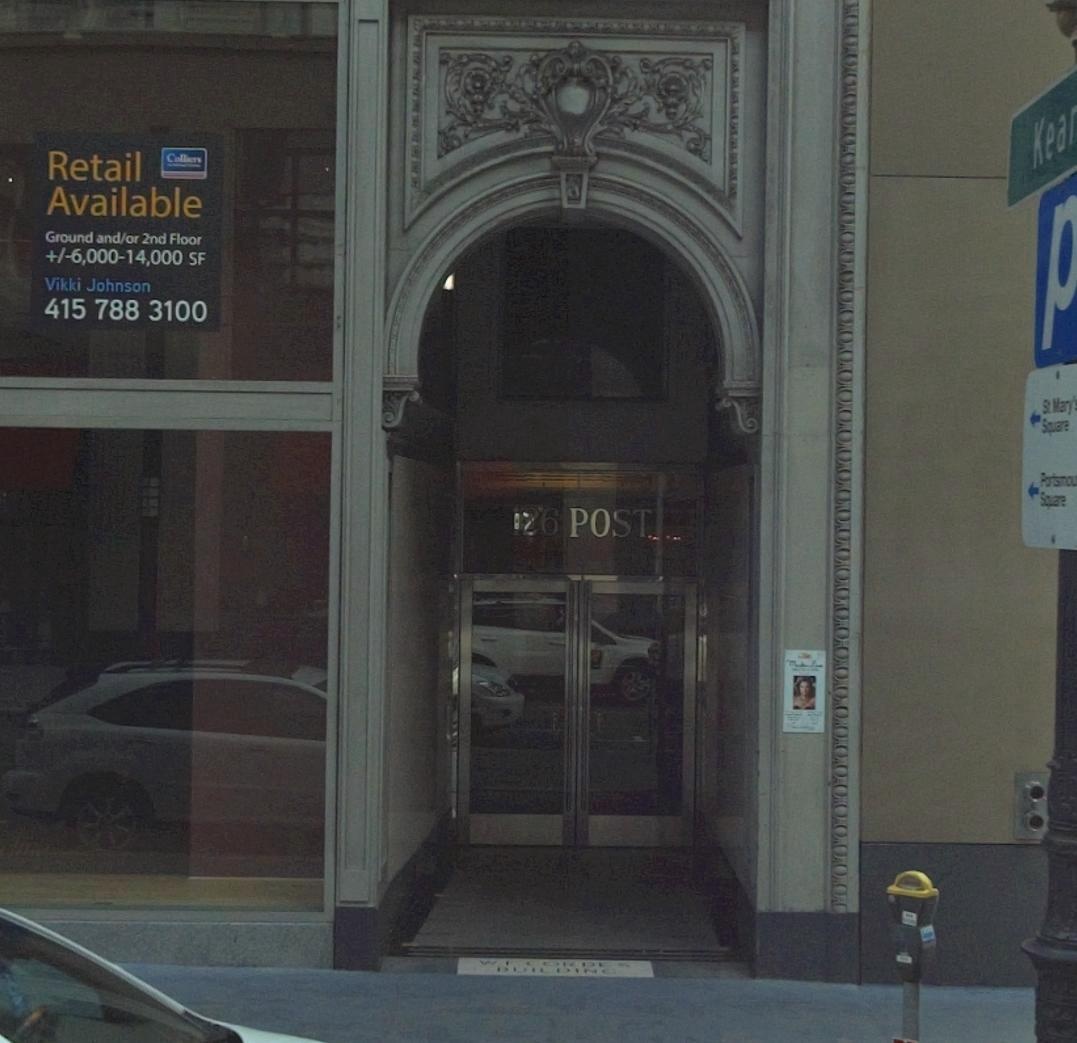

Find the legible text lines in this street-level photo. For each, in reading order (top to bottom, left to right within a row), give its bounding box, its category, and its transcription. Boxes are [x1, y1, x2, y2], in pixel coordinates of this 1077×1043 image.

[1027, 106, 1073, 177] None: Kea
[43, 144, 147, 189] None: Retail
[164, 150, 206, 167] None: Colbert
[41, 180, 207, 223] None: Available
[41, 226, 207, 250] None: Ground and/or 2nd Floor
[40, 245, 209, 270] None: +/-6,000-14,000 SF
[39, 273, 155, 296] None: Vikki Johnson
[39, 293, 212, 325] None: 415 788 3100
[1039, 392, 1076, 419] None: St Mary
[1037, 416, 1072, 442] None: Square
[1036, 468, 1077, 491] None: Portsmo
[508, 503, 564, 540] StreetNumber: 1261
[566, 504, 657, 542] None: POST